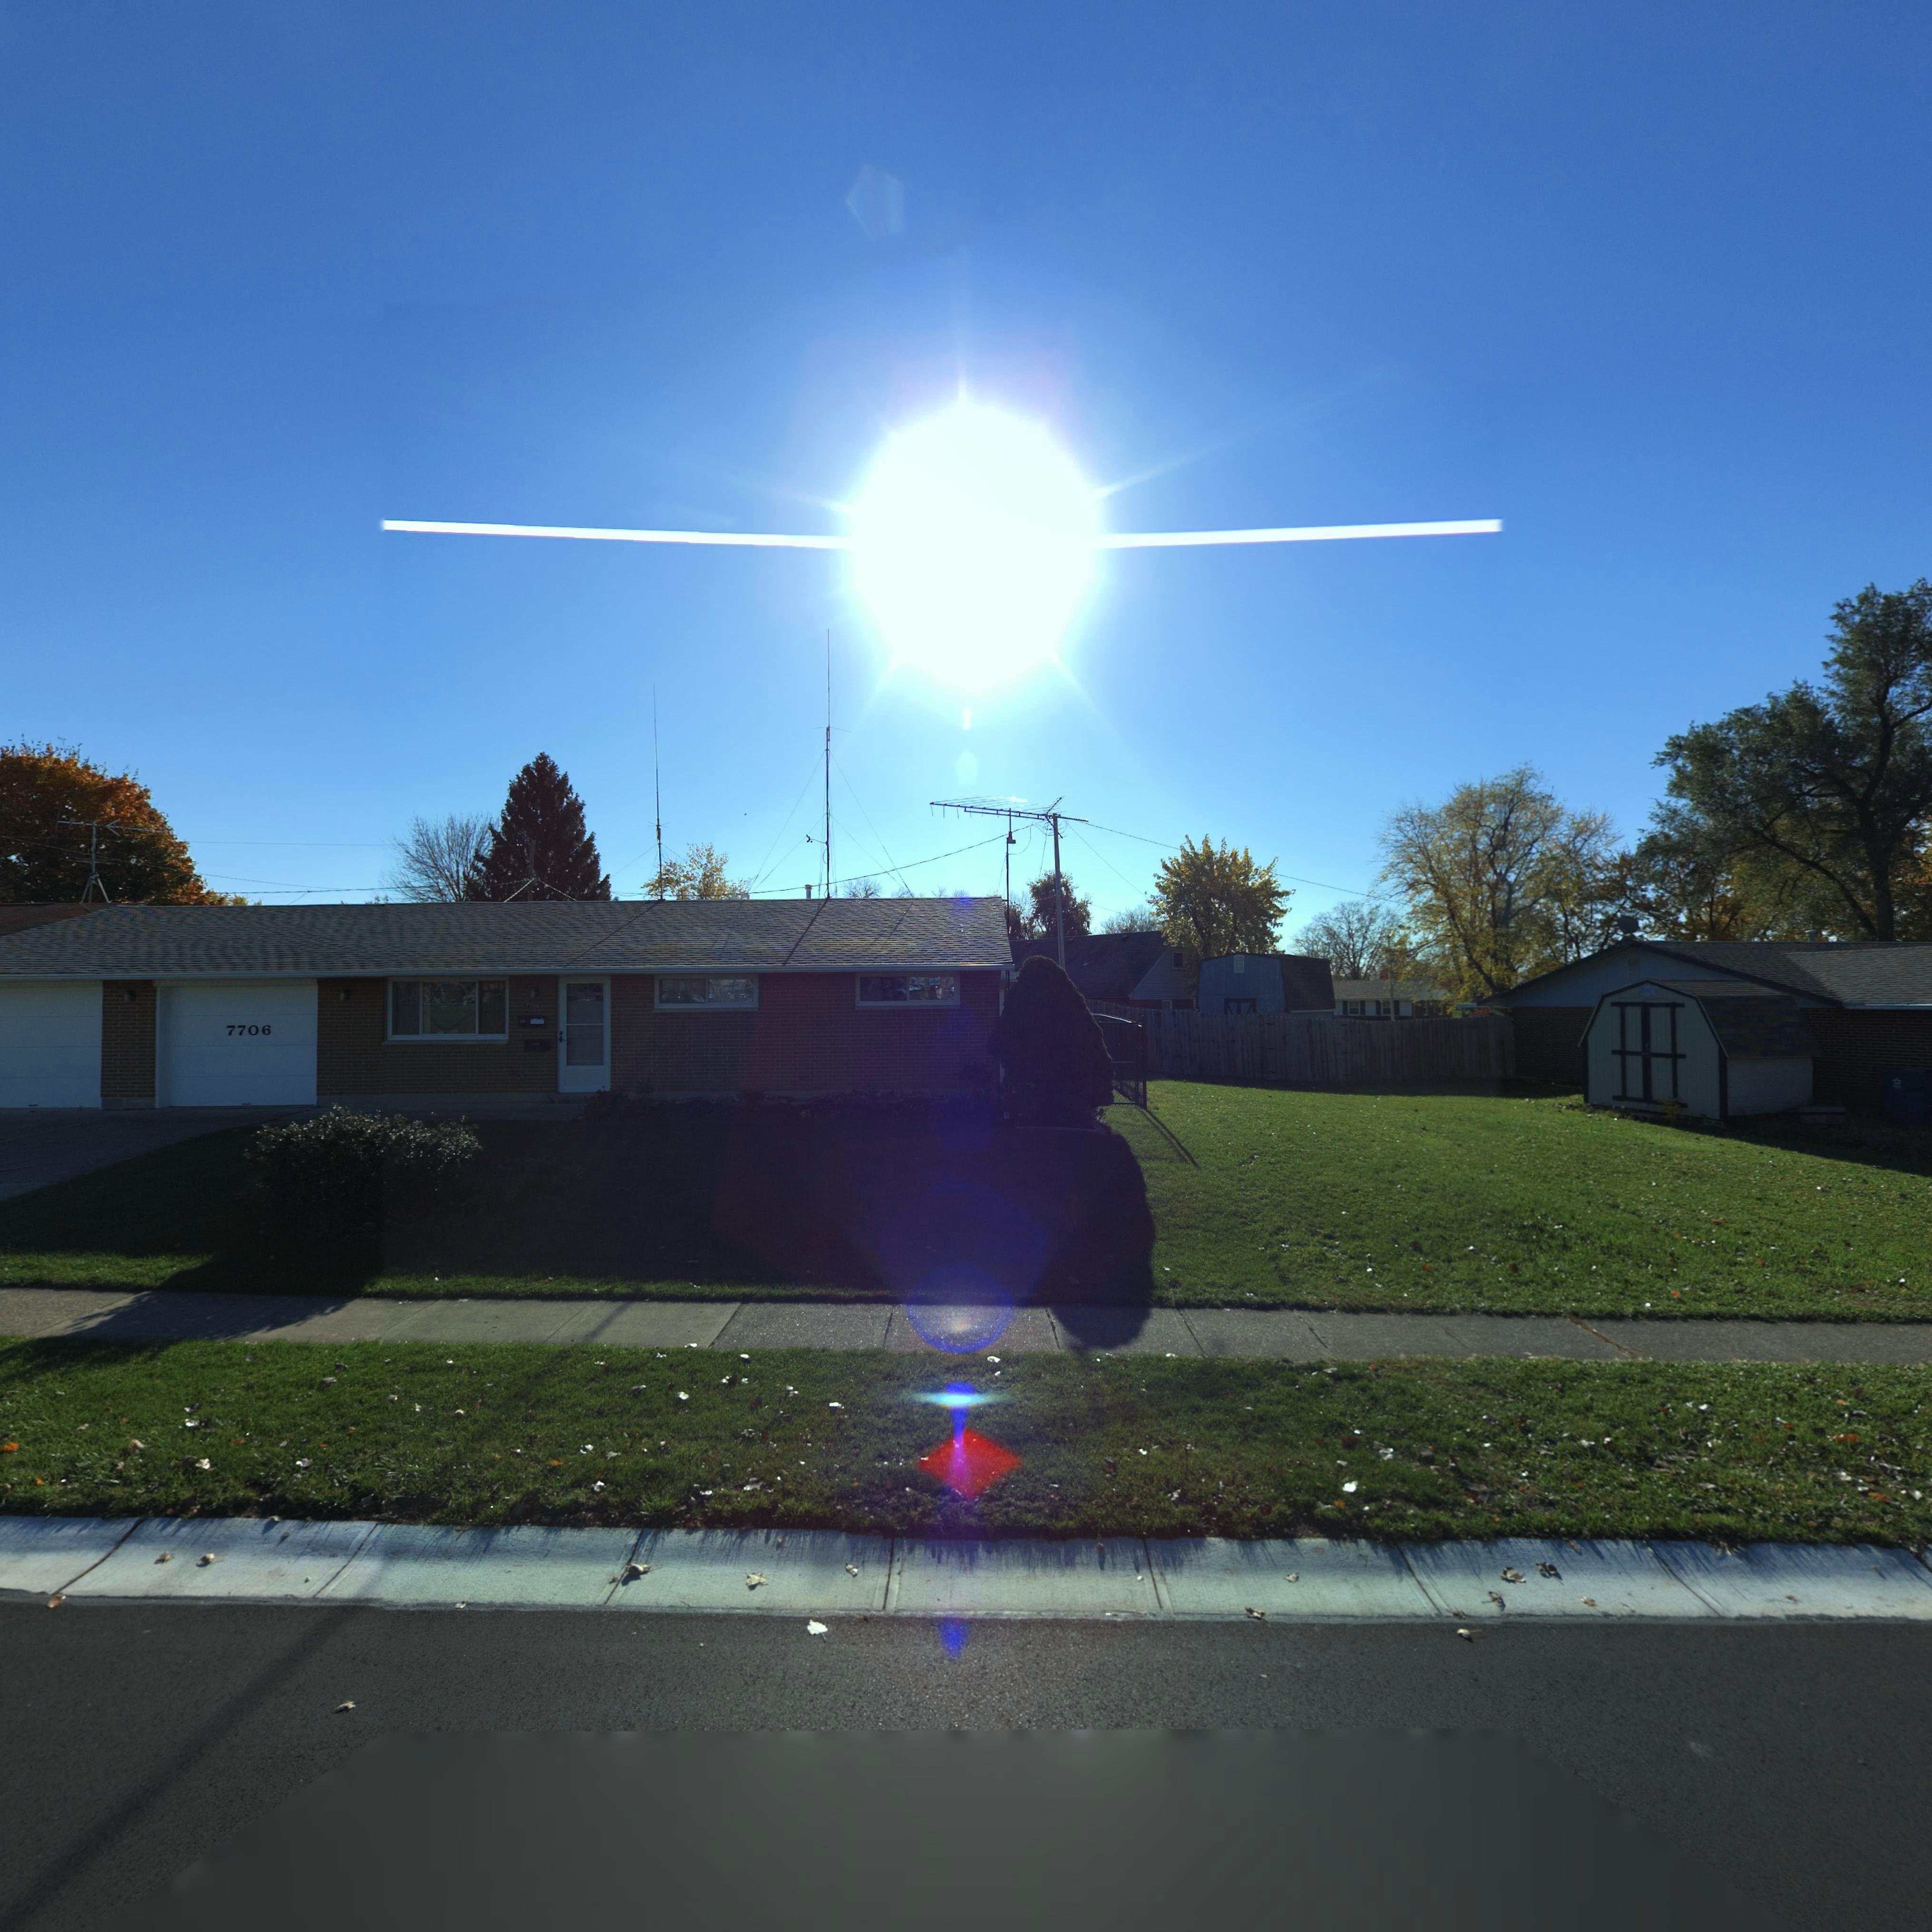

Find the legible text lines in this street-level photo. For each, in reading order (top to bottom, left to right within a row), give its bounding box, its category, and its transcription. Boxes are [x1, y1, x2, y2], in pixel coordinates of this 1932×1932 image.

[524, 1002, 541, 1010] StreetNumber: 7706
[225, 1024, 272, 1037] StreetNumber: 7706